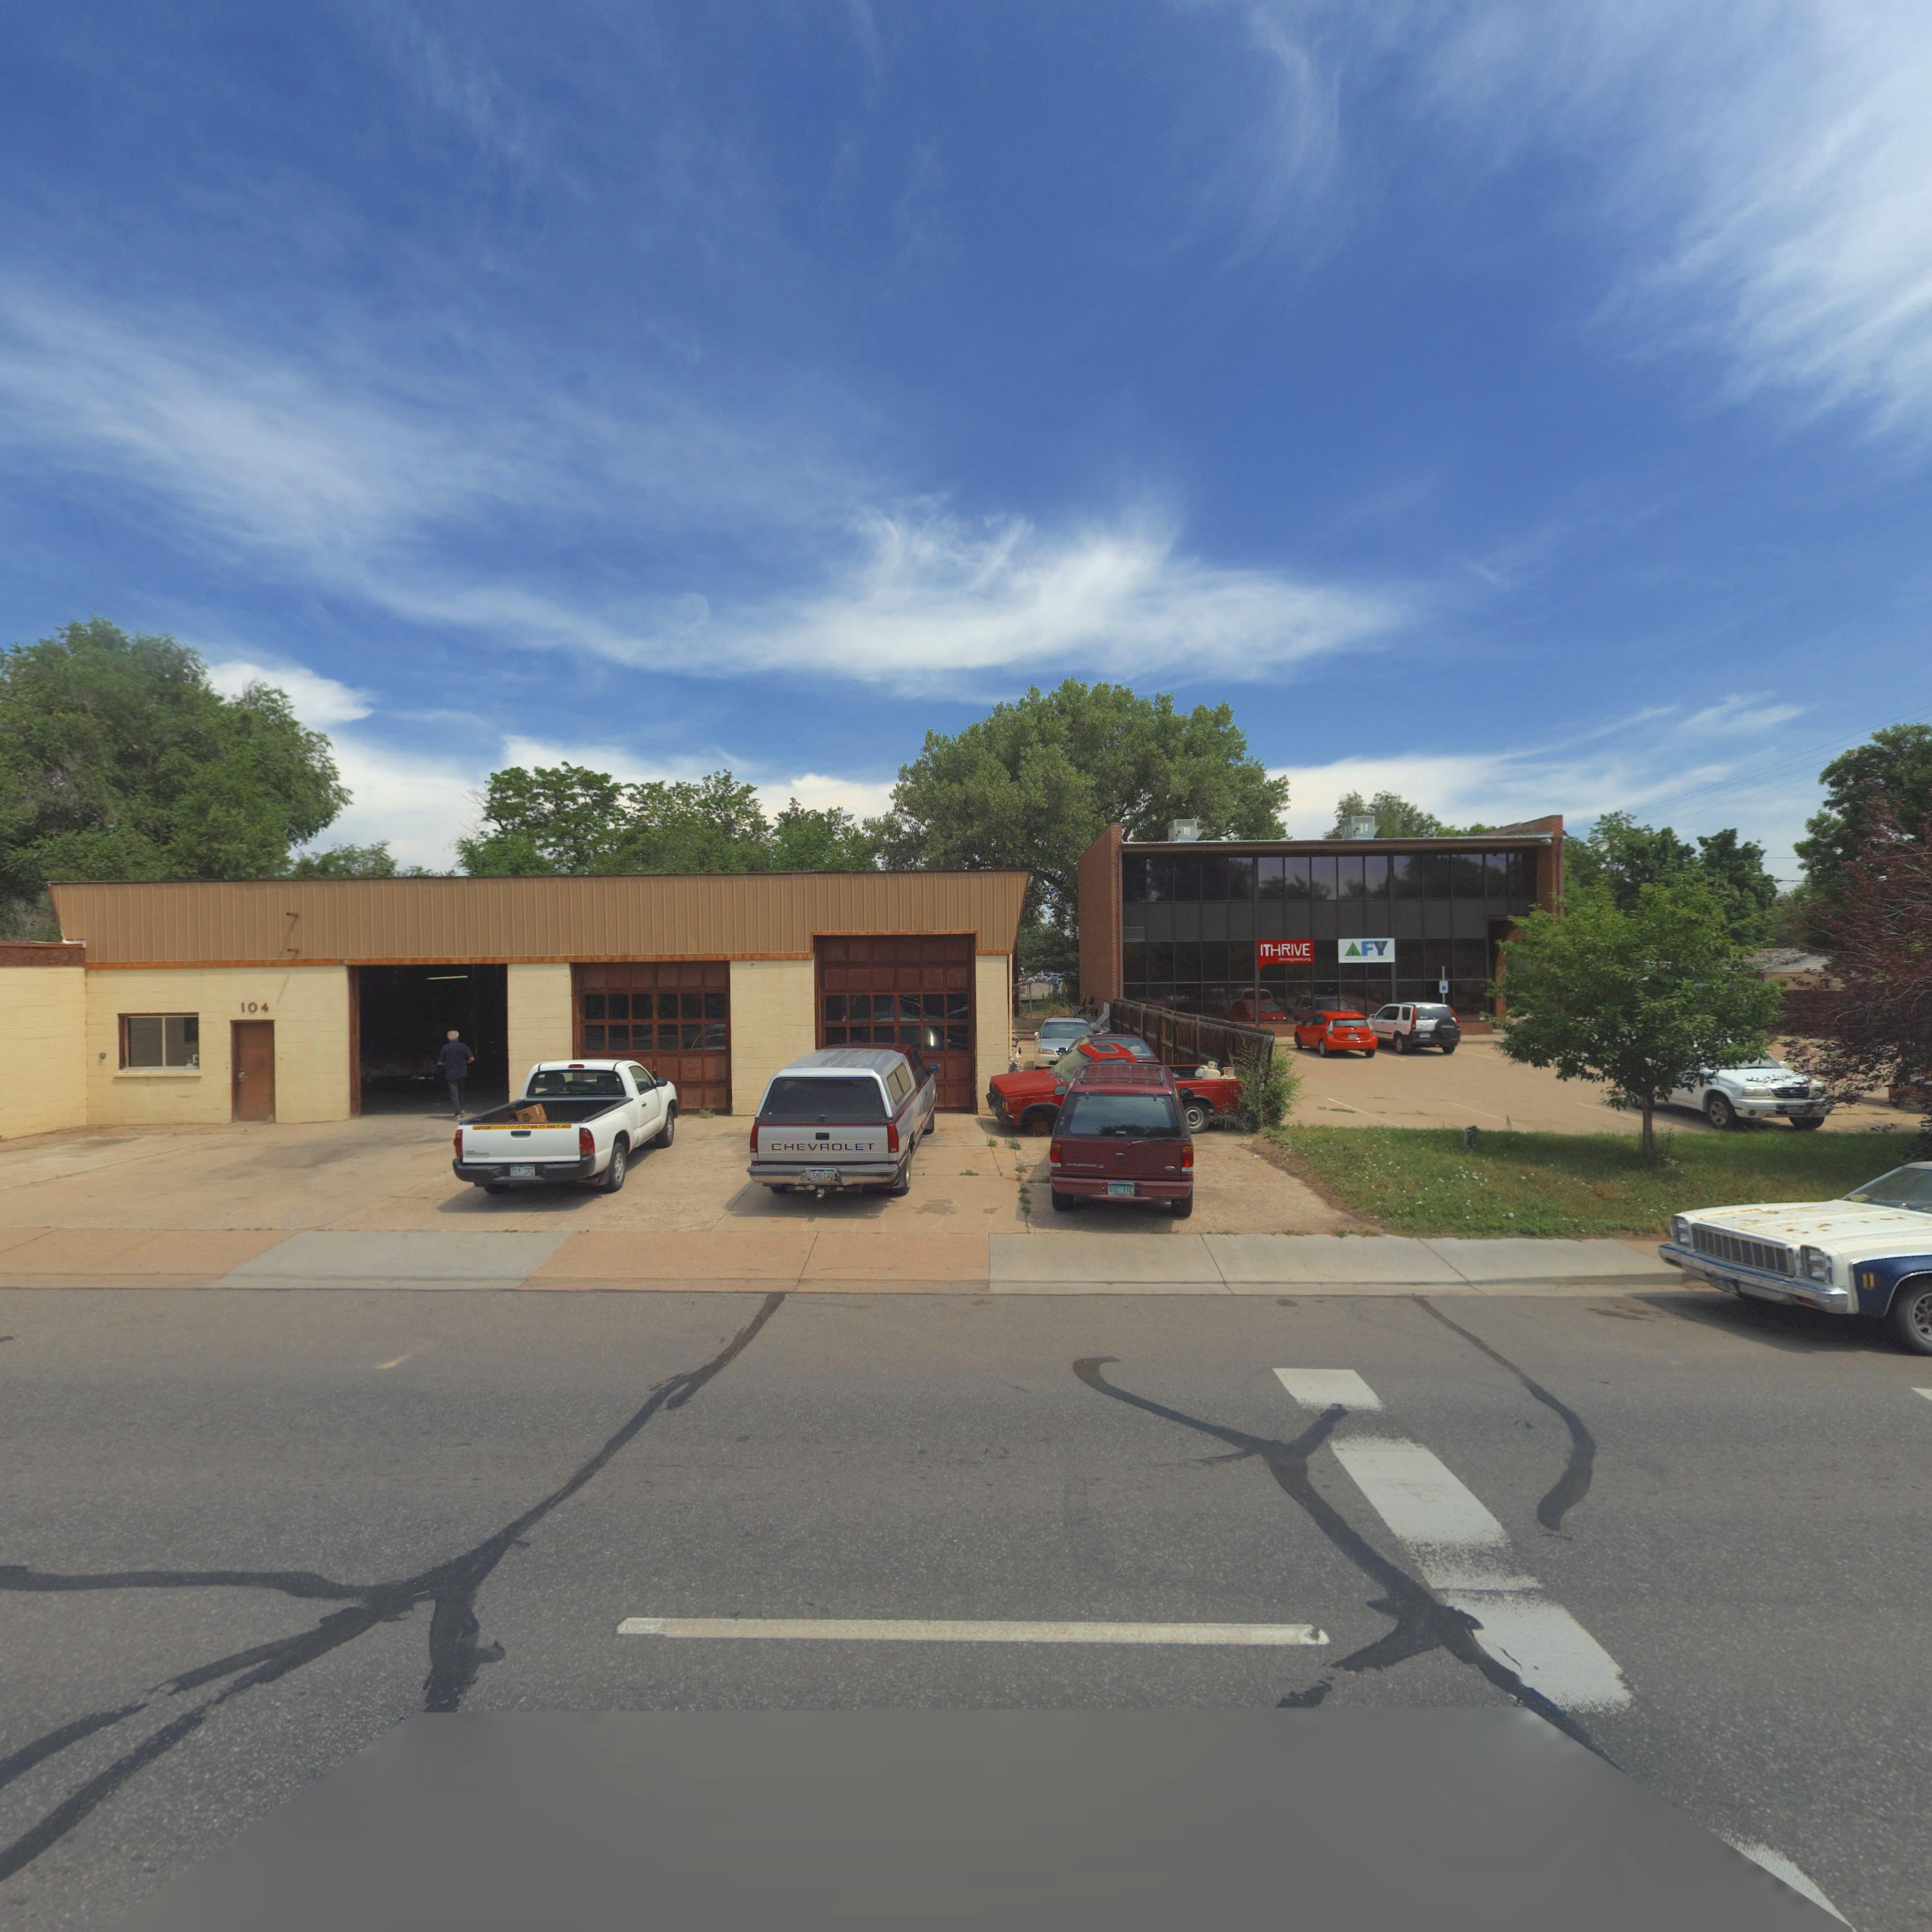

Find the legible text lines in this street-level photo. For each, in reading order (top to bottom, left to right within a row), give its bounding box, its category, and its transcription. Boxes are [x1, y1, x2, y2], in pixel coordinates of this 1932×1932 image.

[1260, 943, 1310, 956] BusinessName: ITHRIVE
[1361, 940, 1388, 956] BusinessName: FY
[240, 1002, 268, 1012] StreetNumber: 104